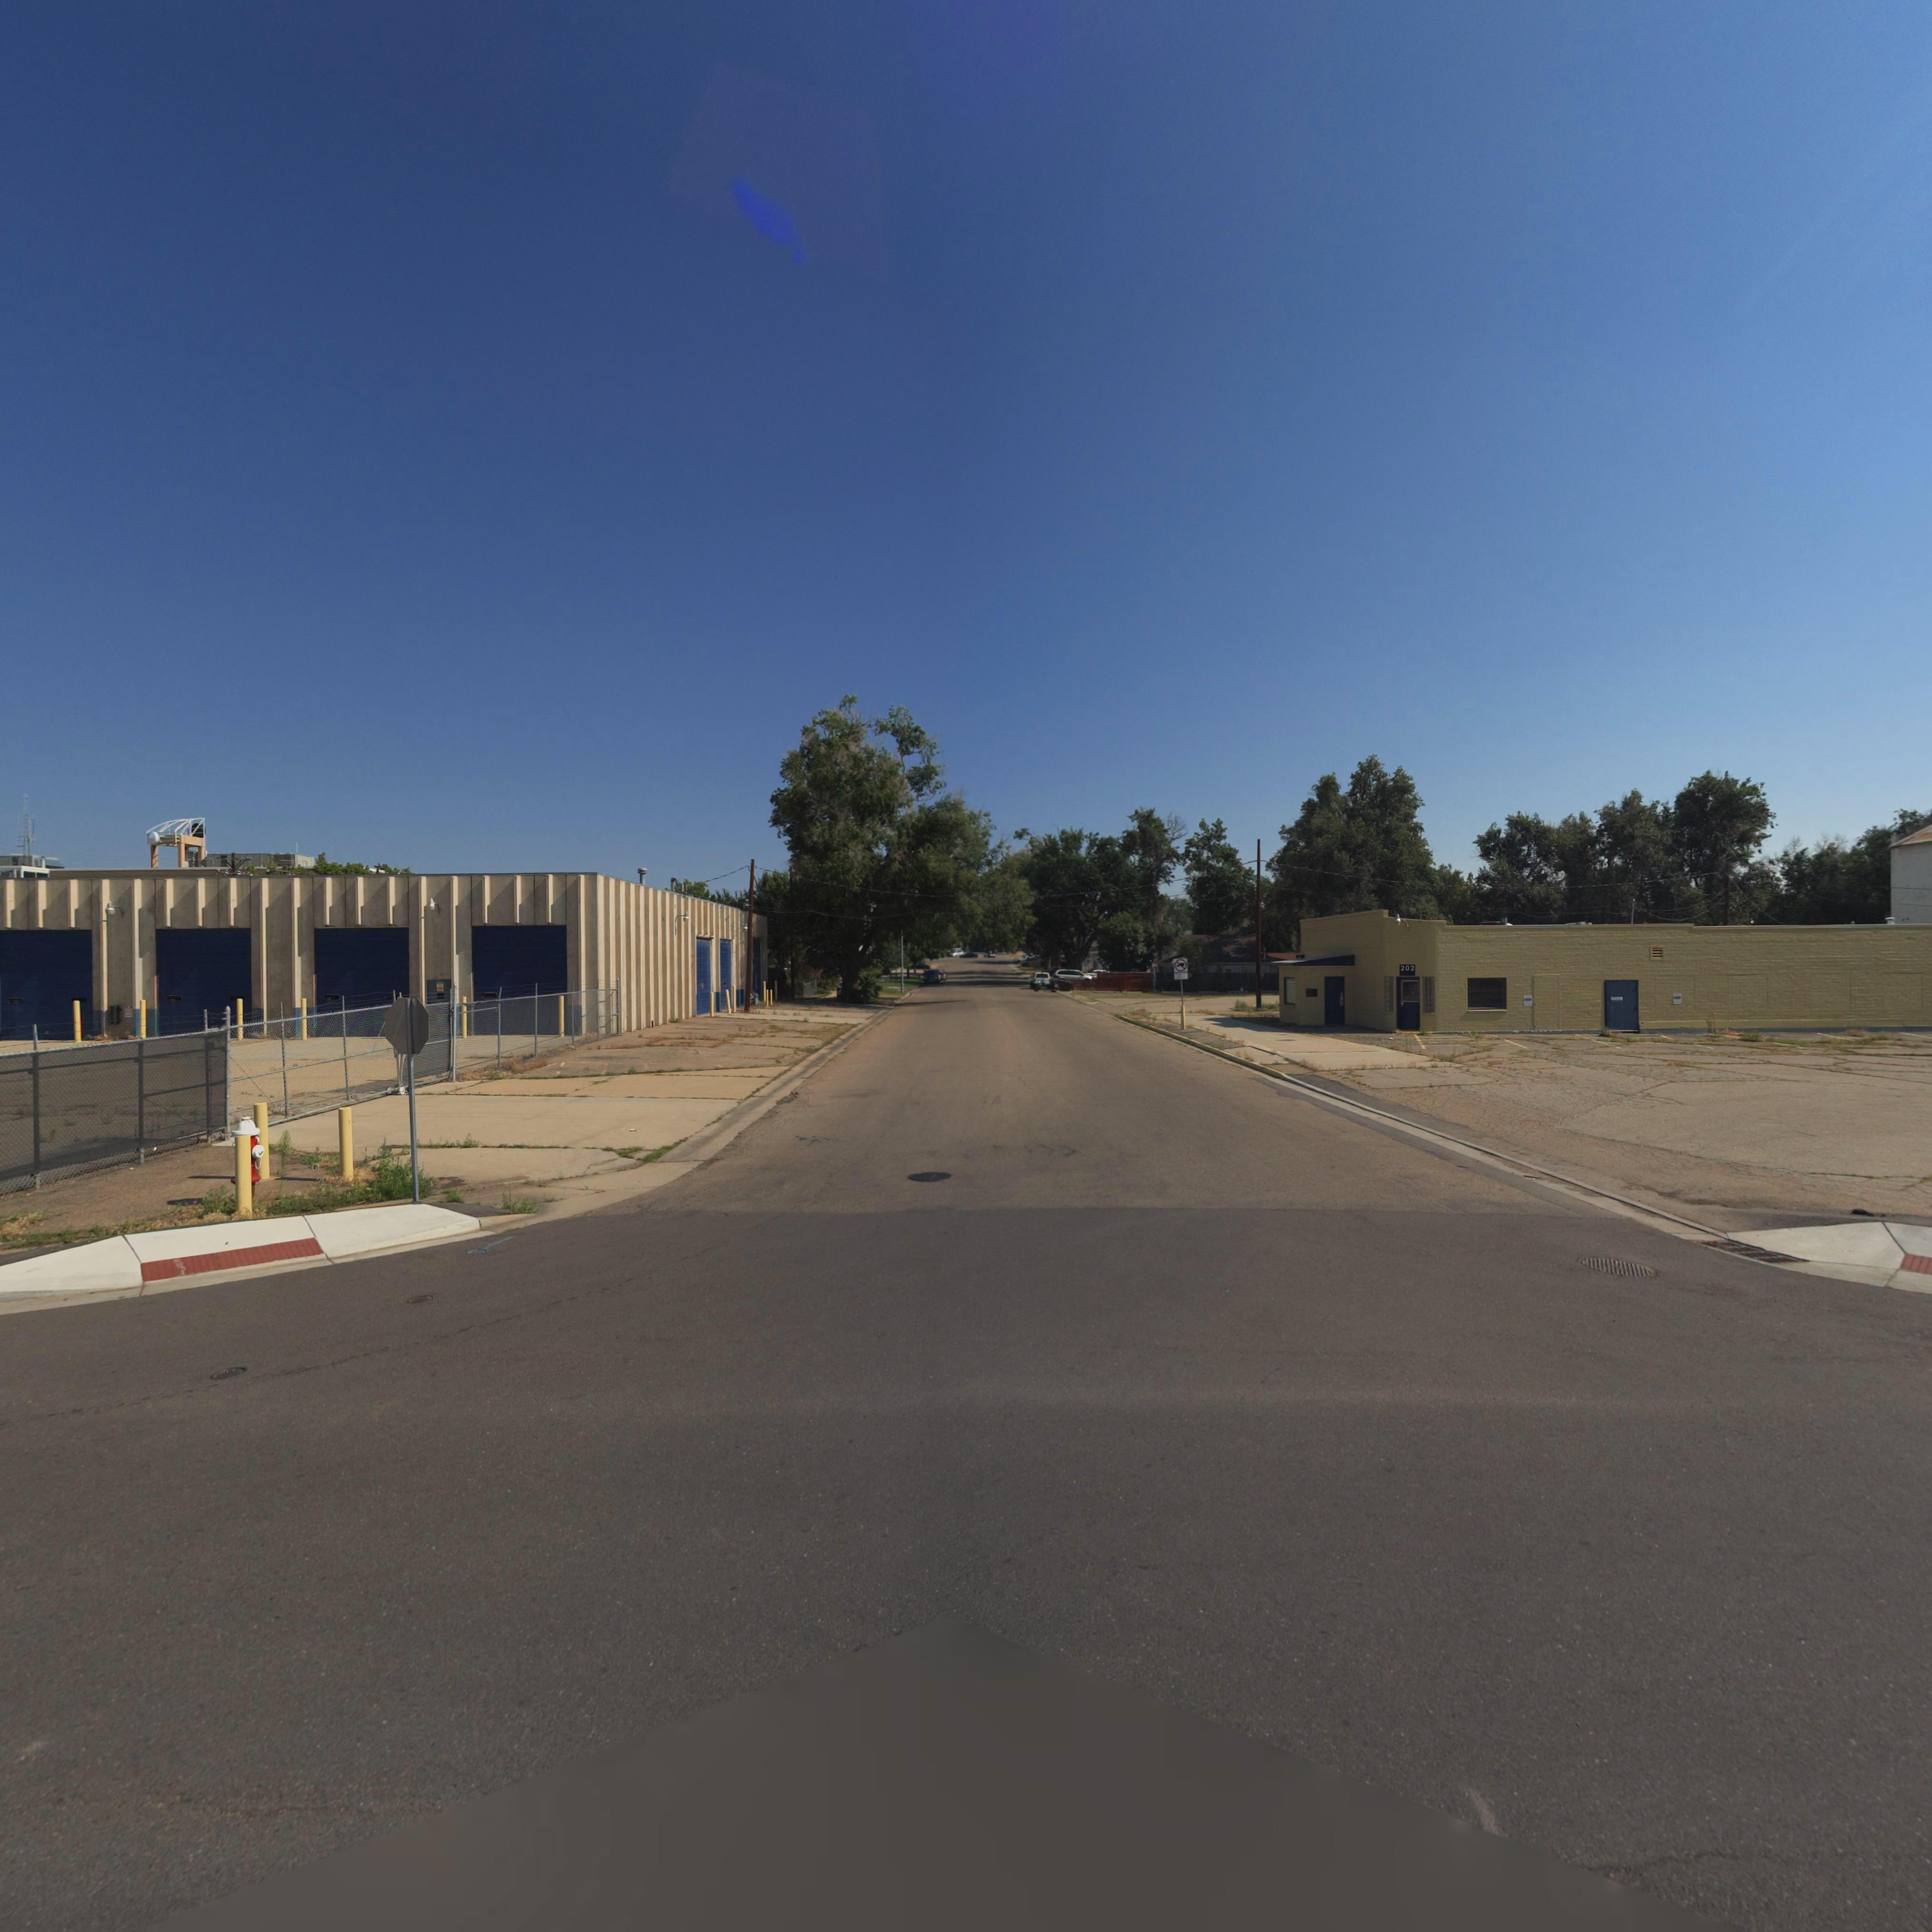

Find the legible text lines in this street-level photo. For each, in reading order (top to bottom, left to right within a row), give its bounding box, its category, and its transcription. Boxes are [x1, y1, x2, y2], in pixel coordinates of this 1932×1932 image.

[1400, 965, 1415, 971] StreetNumber: 202